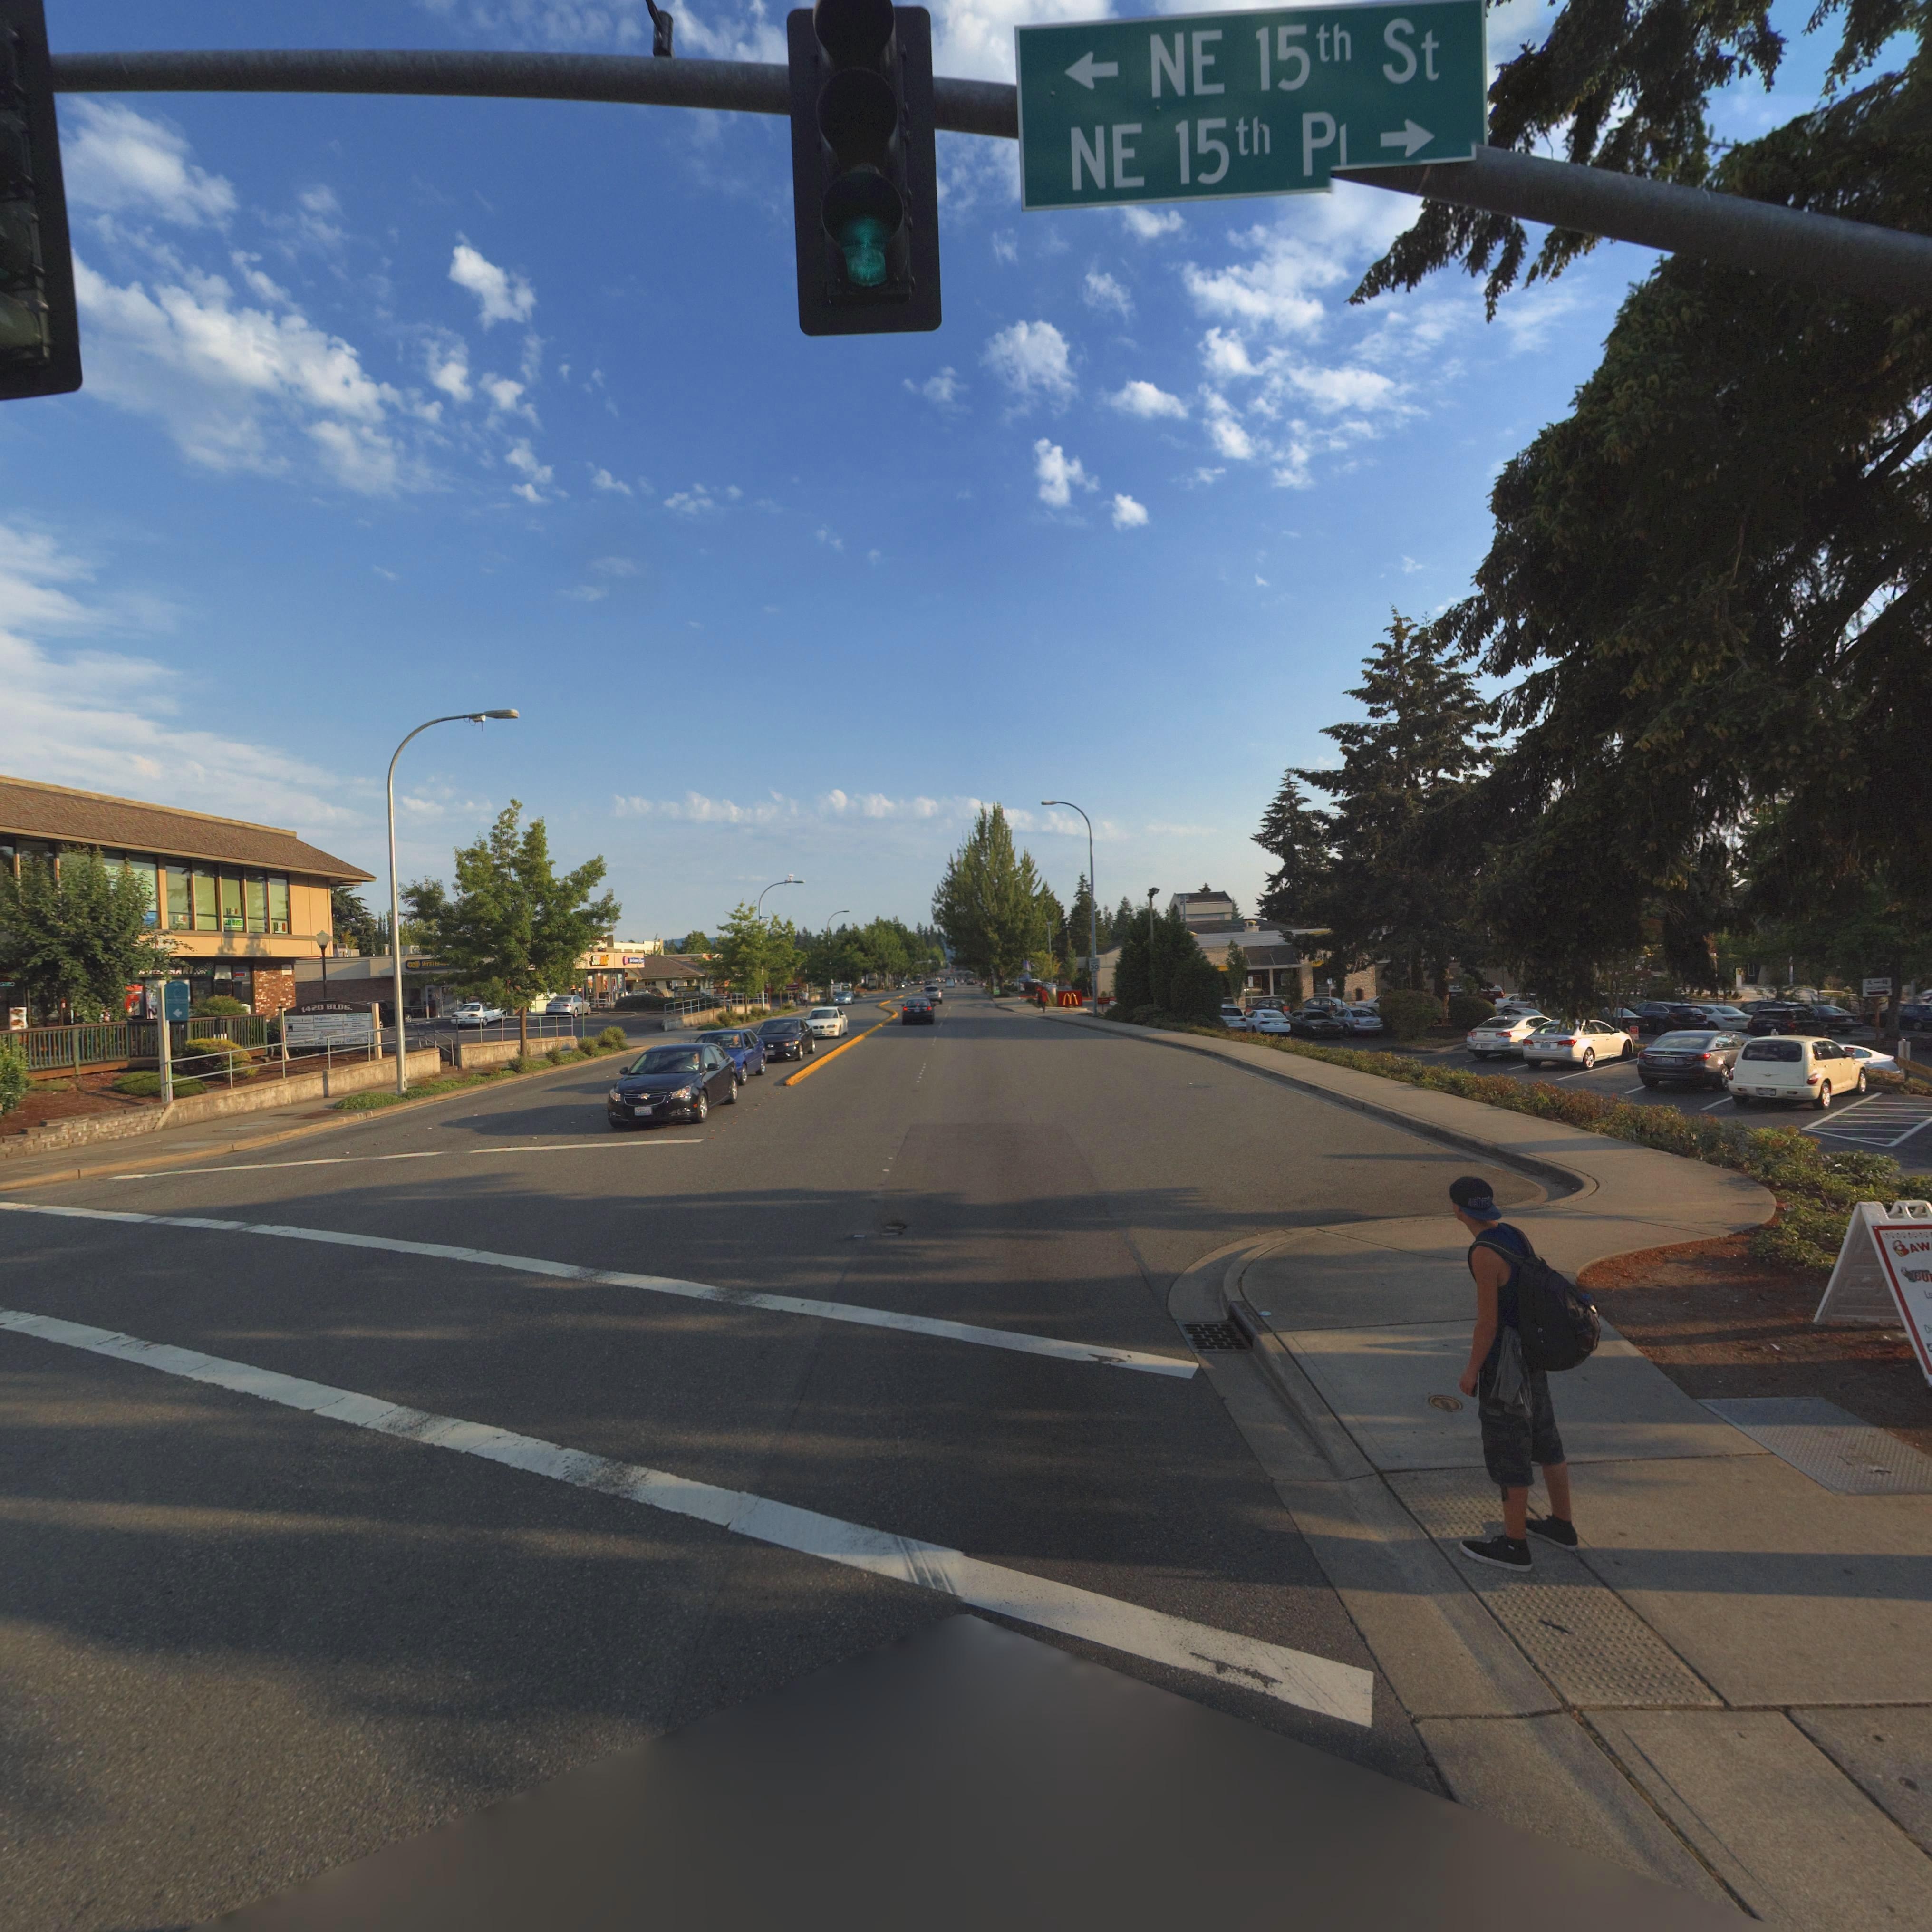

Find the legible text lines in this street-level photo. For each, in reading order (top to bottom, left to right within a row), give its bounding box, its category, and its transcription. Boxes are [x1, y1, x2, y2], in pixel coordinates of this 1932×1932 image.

[1149, 17, 1440, 97] StreetName: NE 15th St
[1068, 110, 1339, 193] StreetName: NE 15th P
[300, 1004, 324, 1013] StreetNumber: 1420